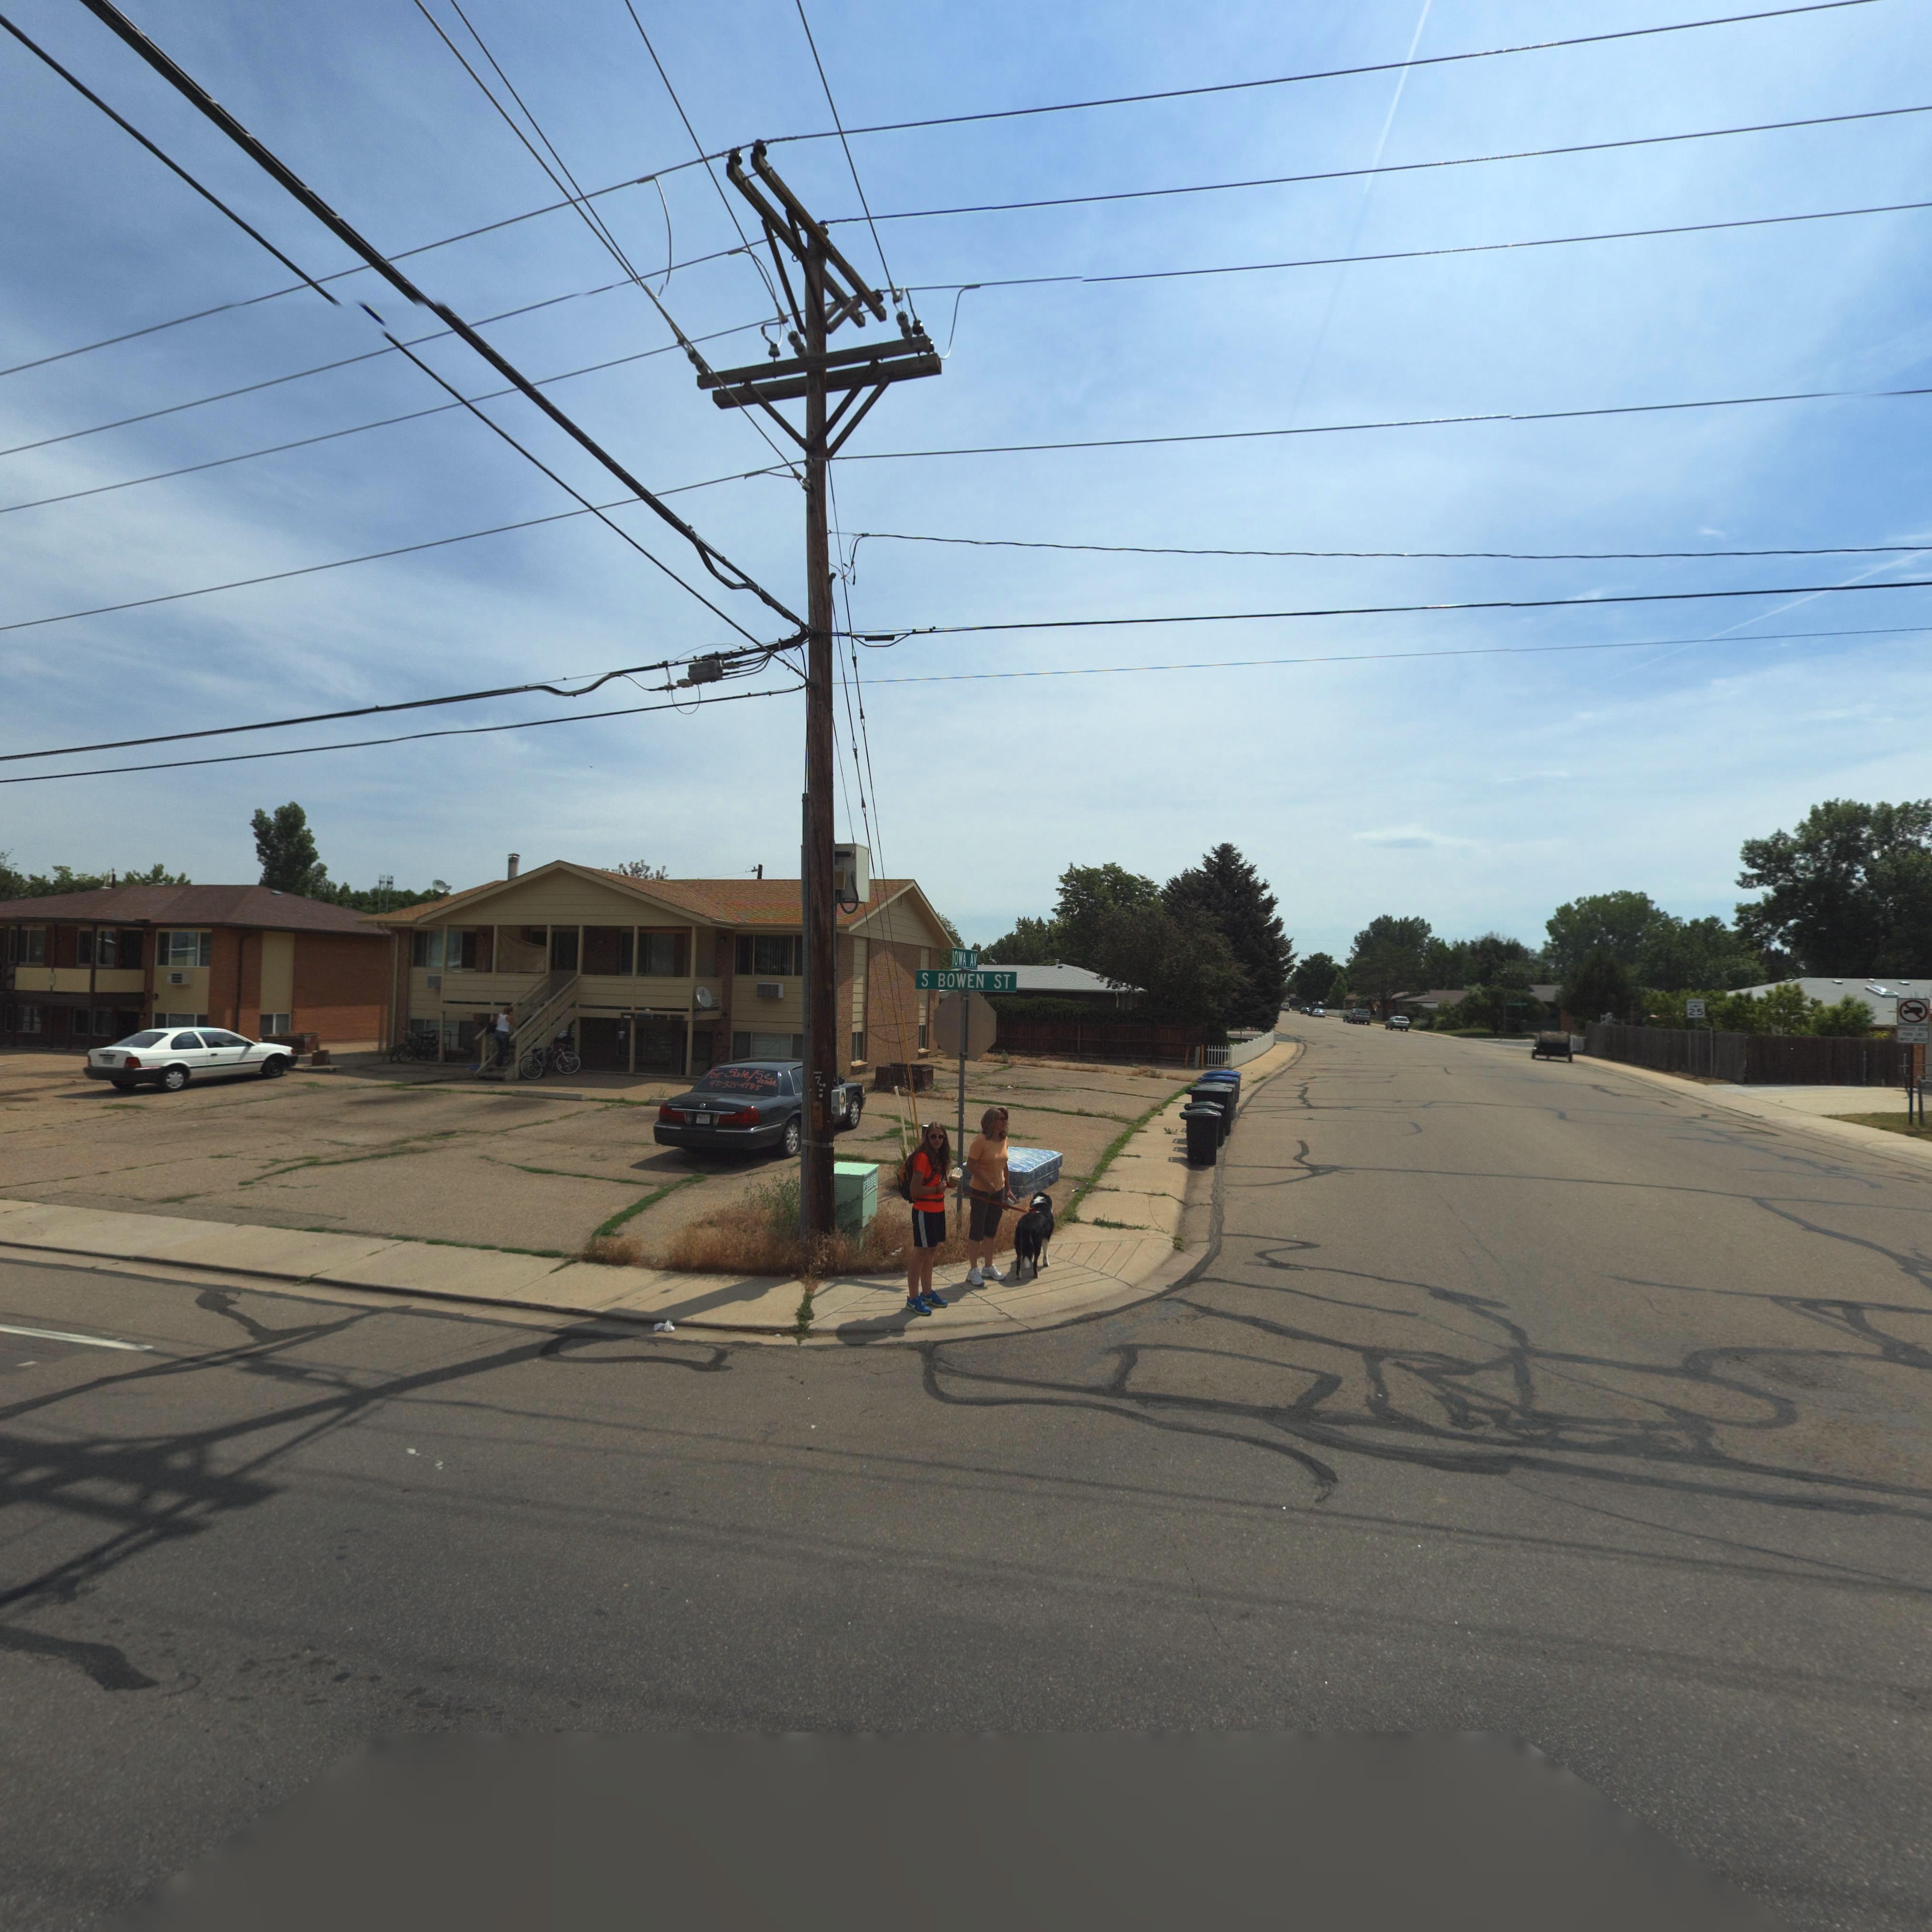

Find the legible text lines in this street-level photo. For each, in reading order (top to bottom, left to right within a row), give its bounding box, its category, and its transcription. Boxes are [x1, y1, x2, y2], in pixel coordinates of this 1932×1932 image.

[952, 950, 977, 967] StreetName: IOWA AV
[920, 971, 1011, 989] StreetName: S BOWEN ST